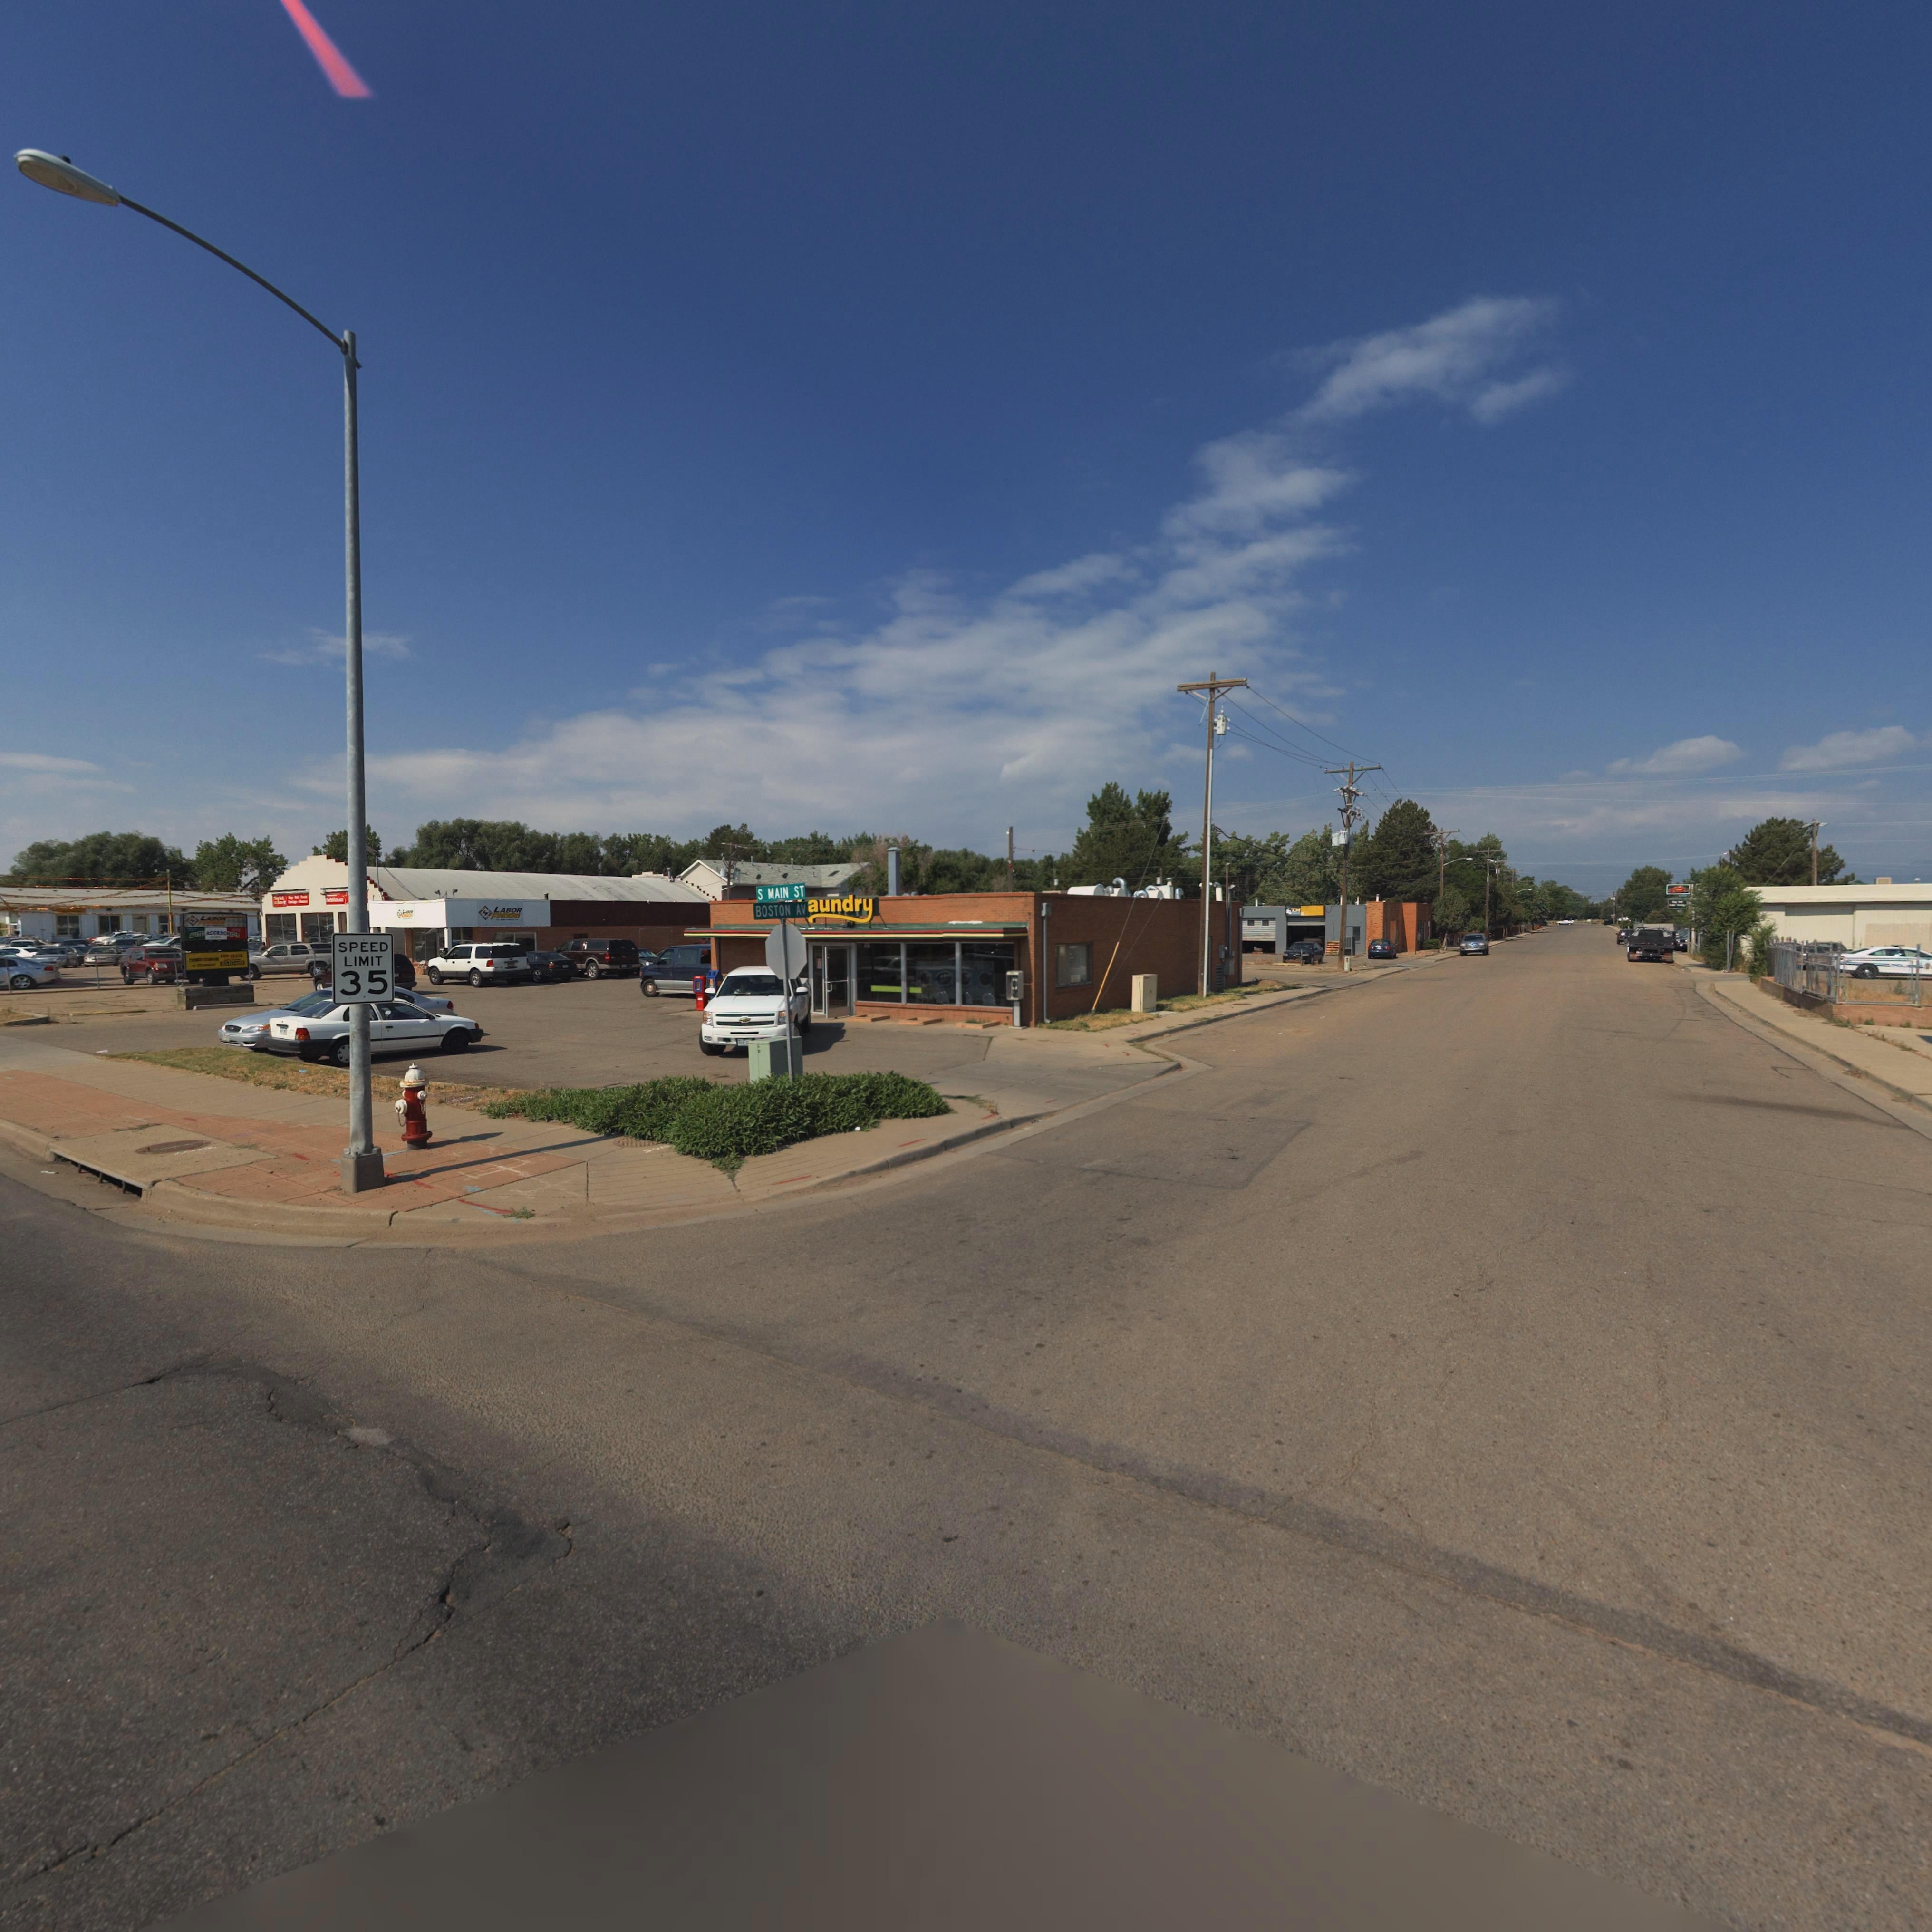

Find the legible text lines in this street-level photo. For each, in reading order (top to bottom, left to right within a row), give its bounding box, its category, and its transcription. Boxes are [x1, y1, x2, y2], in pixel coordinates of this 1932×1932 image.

[757, 885, 804, 900] StreetName: S MAIN ST
[402, 909, 413, 914] BusinessName: L****
[493, 906, 522, 913] BusinessName: LABOR
[755, 904, 805, 917] StreetName: BOSTON AV
[807, 894, 873, 924] BusinessName: sunfty
[200, 916, 227, 921] BusinessName: LABOR
[490, 913, 521, 920] BusinessName: F******
[197, 920, 225, 926] BusinessName: F******